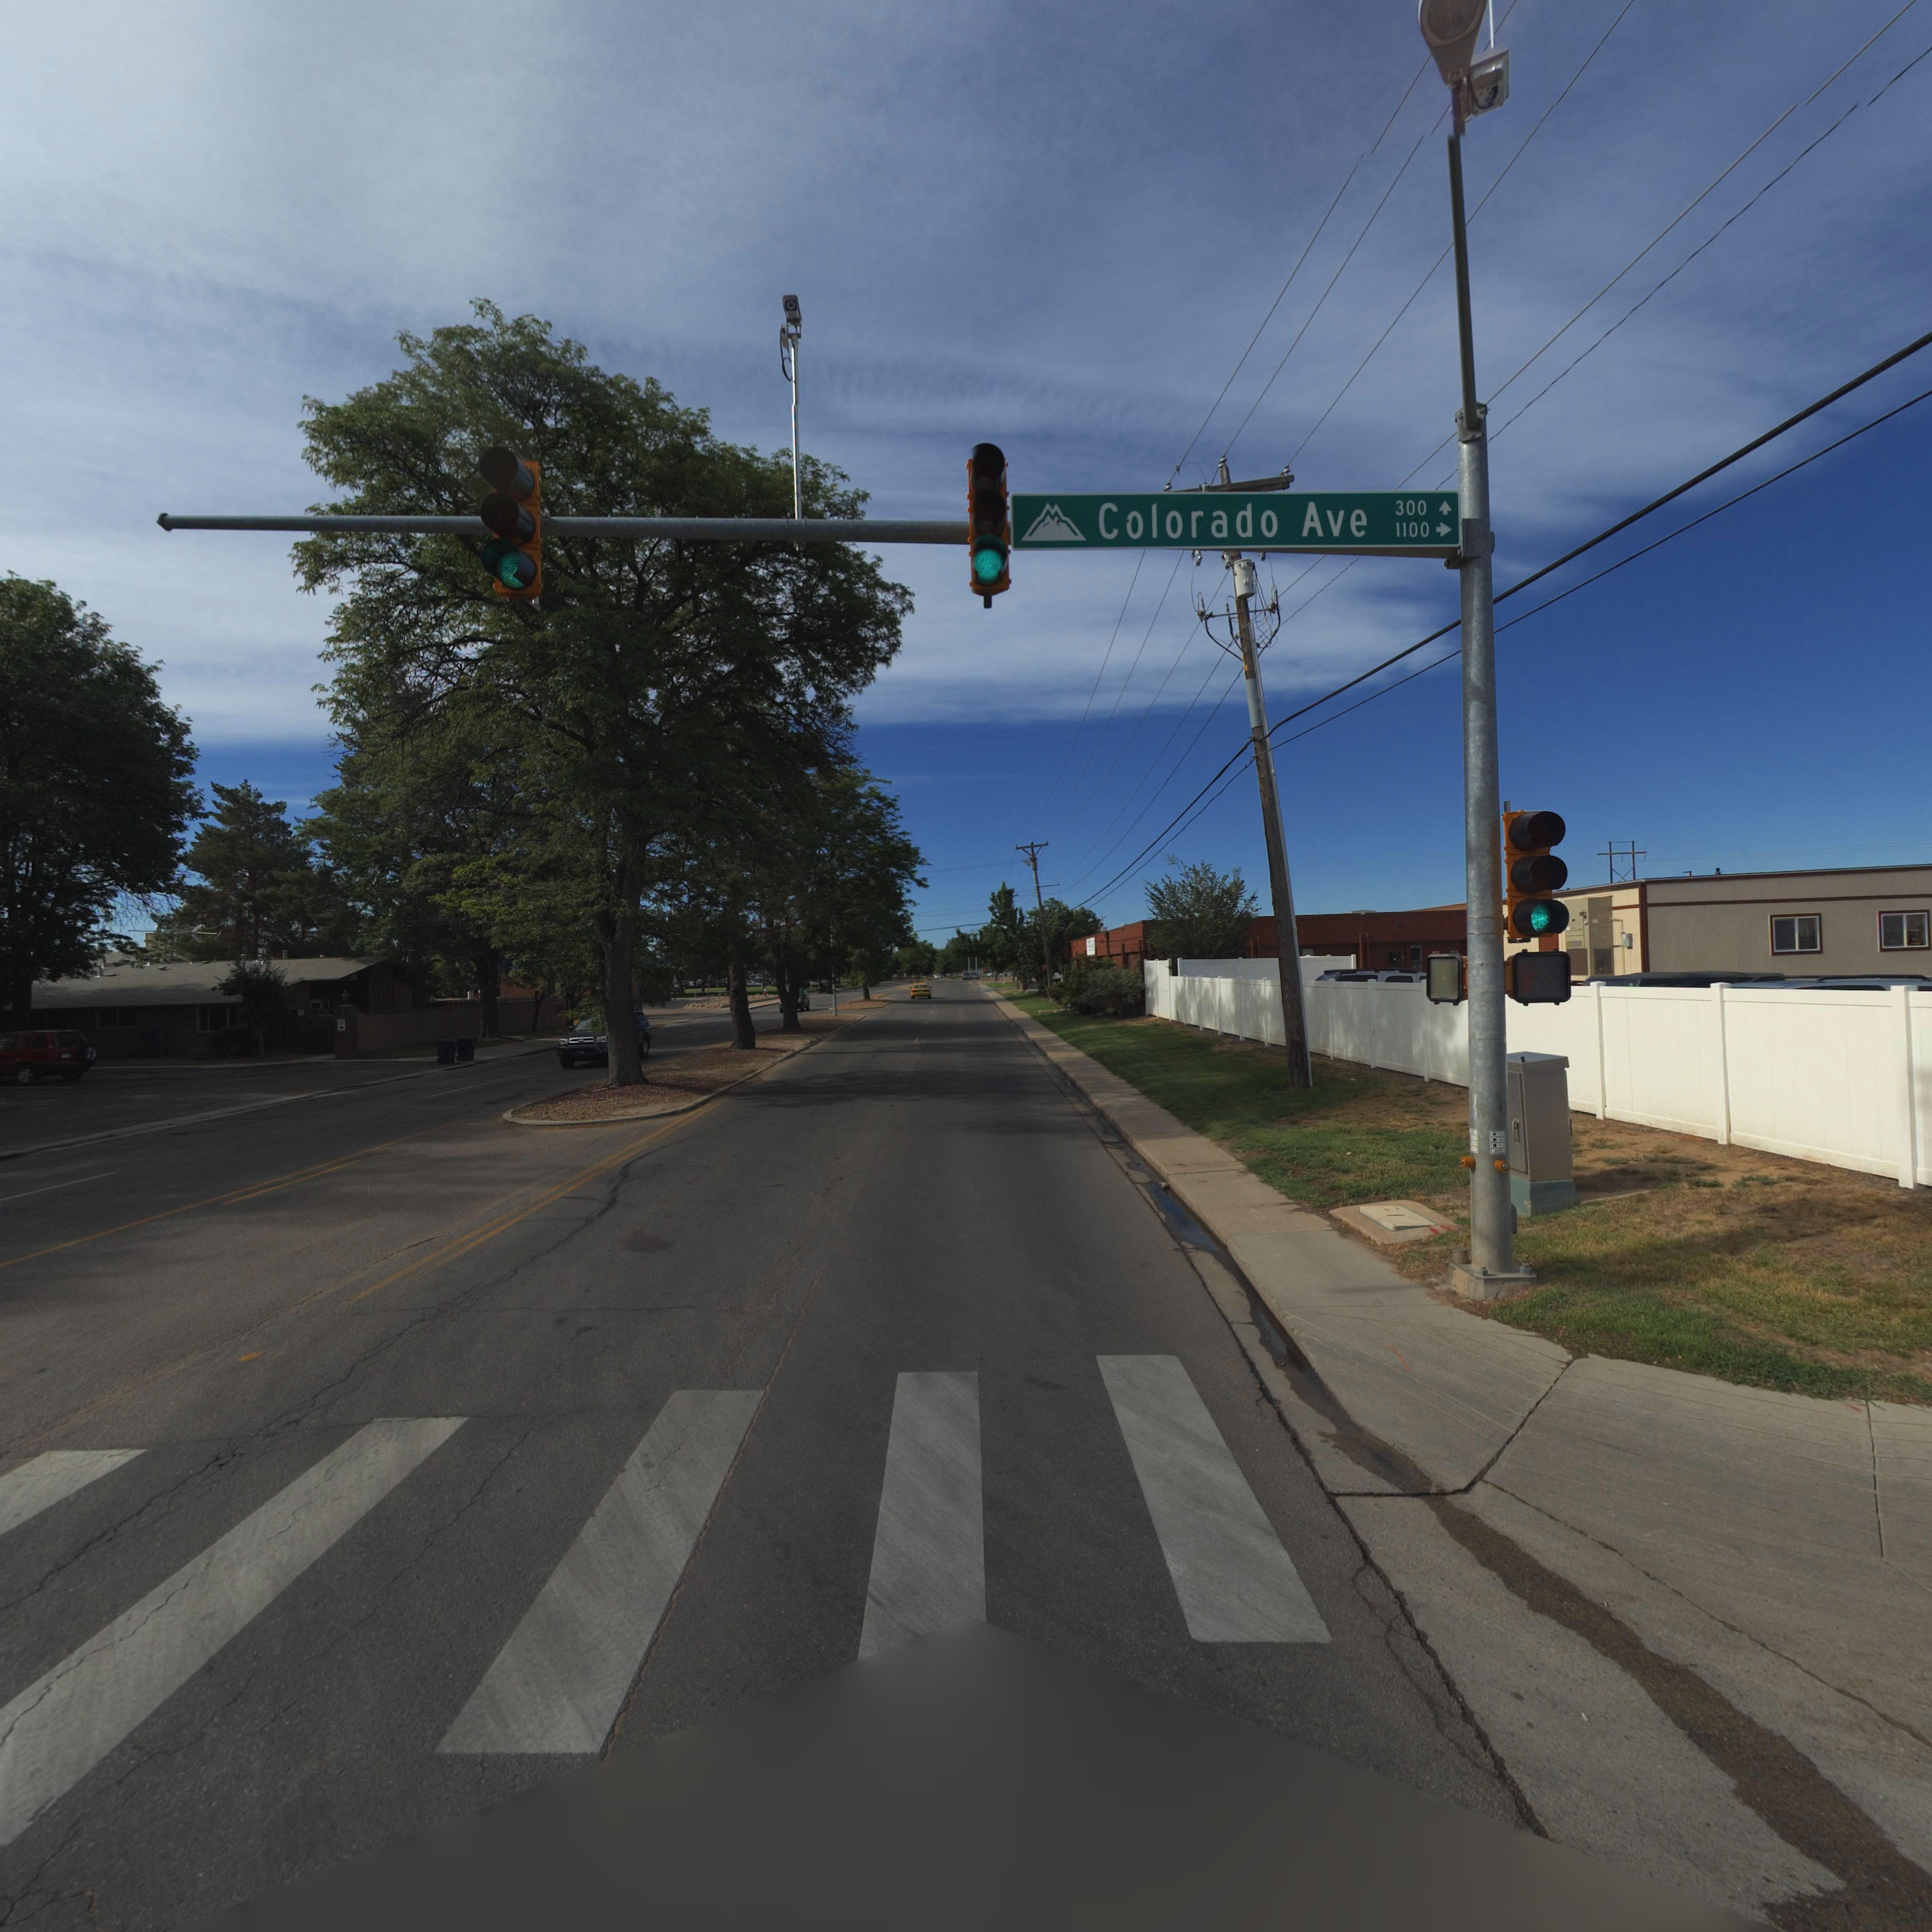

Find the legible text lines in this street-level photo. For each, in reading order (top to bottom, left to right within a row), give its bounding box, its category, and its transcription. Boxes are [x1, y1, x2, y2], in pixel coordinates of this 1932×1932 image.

[1395, 499, 1427, 516] StreetNumberRange: 300
[1095, 499, 1372, 542] StreetName: Colorado Ave
[1395, 521, 1453, 538] StreetNumberRange: 1100->